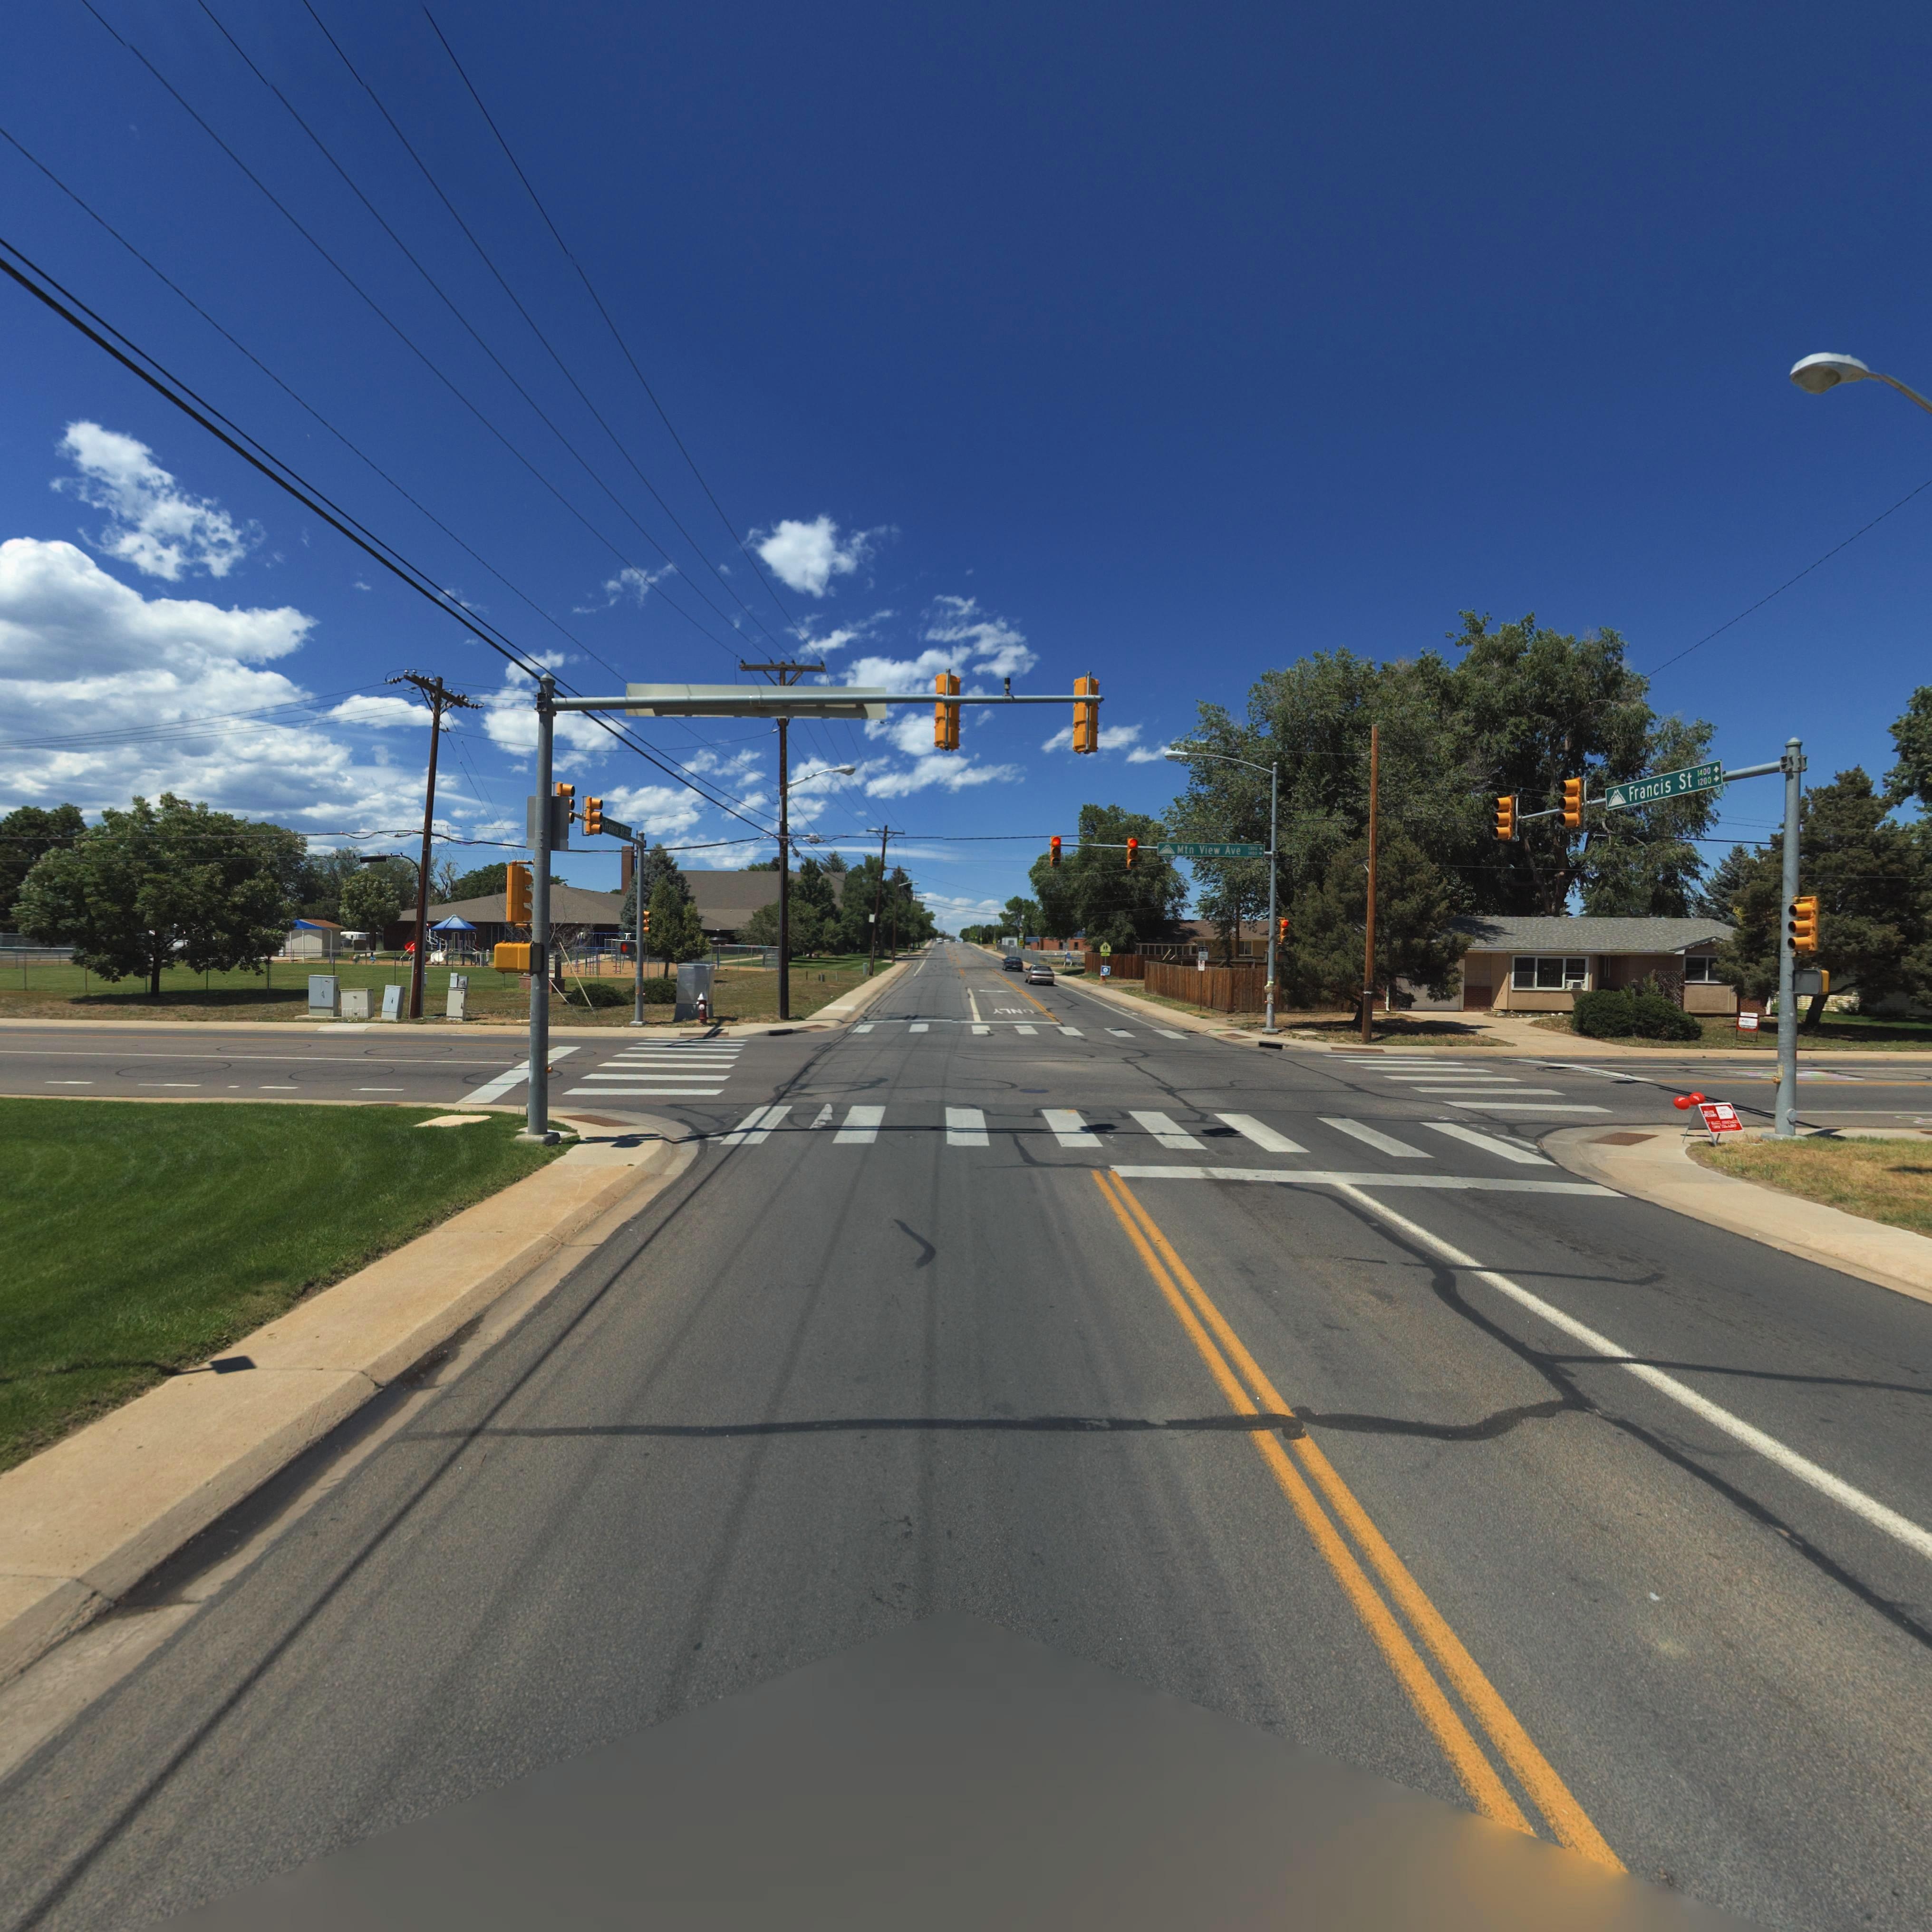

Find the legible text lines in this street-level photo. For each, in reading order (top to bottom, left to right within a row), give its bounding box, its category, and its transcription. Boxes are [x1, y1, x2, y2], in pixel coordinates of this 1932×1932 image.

[1697, 766, 1710, 777] StreetNumberRange: 1400
[1697, 774, 1720, 786] StreetNumberRange: 1200 ->
[1628, 771, 1693, 802] StreetName: Francis St
[604, 820, 624, 837] StreetName: Francis St
[1177, 844, 1241, 855] StreetName: Mts View Ave
[1248, 846, 1257, 850] StreetNumberRange: **00
[1248, 850, 1263, 855] StreetNumberRange: 1400 ->